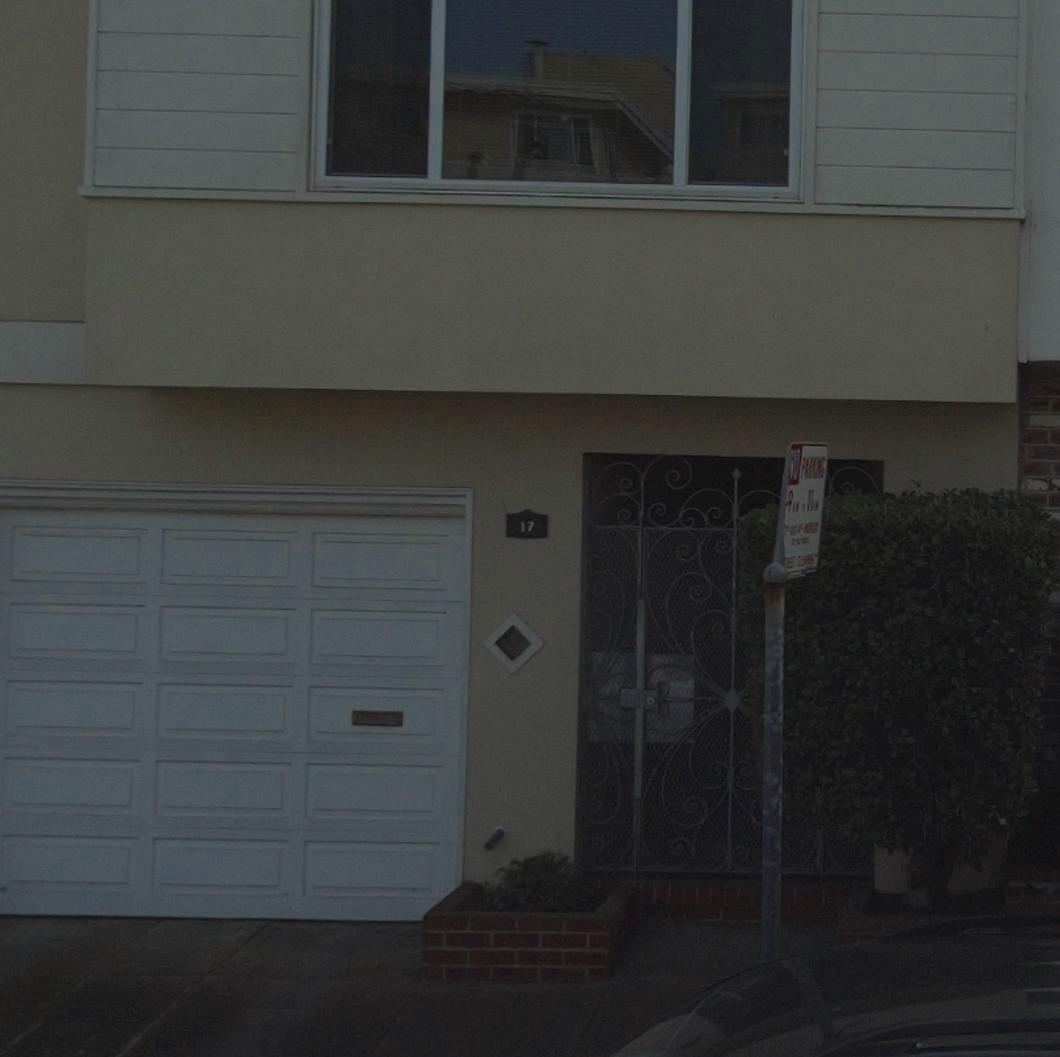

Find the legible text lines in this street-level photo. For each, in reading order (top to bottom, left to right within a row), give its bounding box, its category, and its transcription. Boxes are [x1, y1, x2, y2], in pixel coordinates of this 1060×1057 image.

[786, 488, 796, 516] None: 9
[805, 486, 815, 513] None: 11
[519, 519, 536, 533] StreetNumber: 17